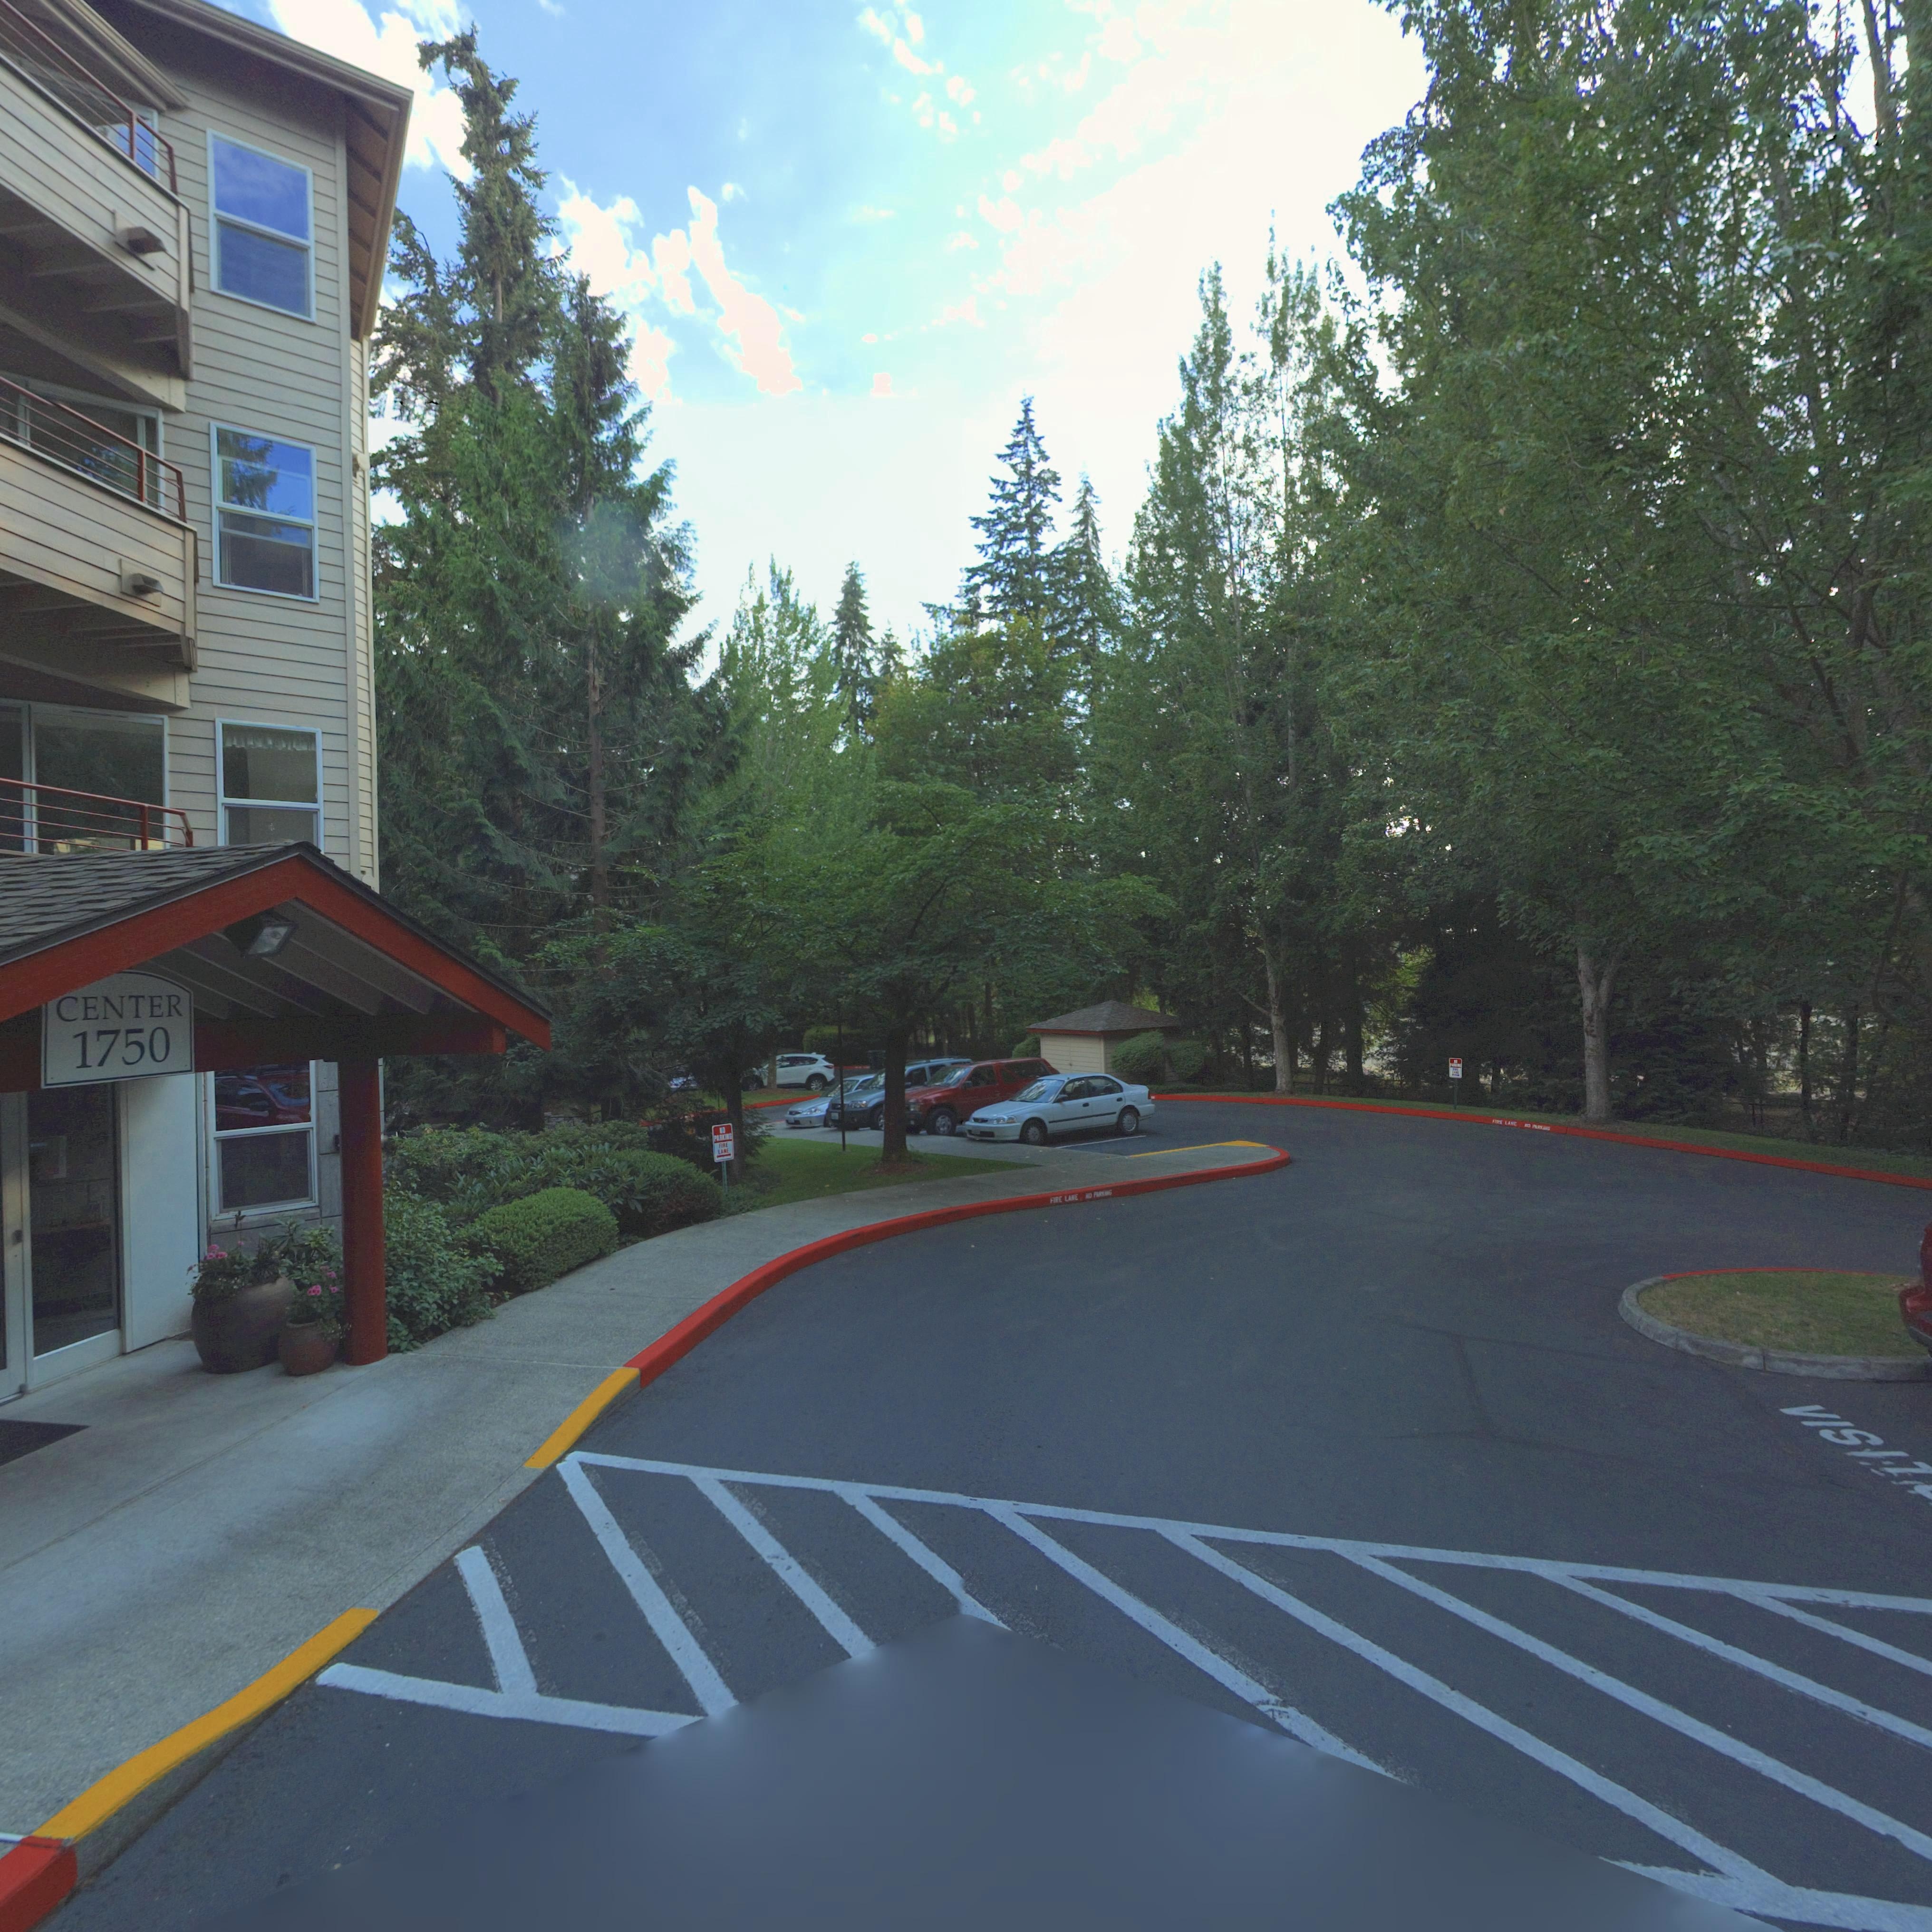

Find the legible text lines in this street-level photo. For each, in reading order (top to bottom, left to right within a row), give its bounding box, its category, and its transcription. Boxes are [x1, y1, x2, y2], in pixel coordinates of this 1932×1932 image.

[51, 990, 187, 1025] SecondaryUnitDesignator: CENTER
[70, 1024, 174, 1072] StreetNumber: 1750